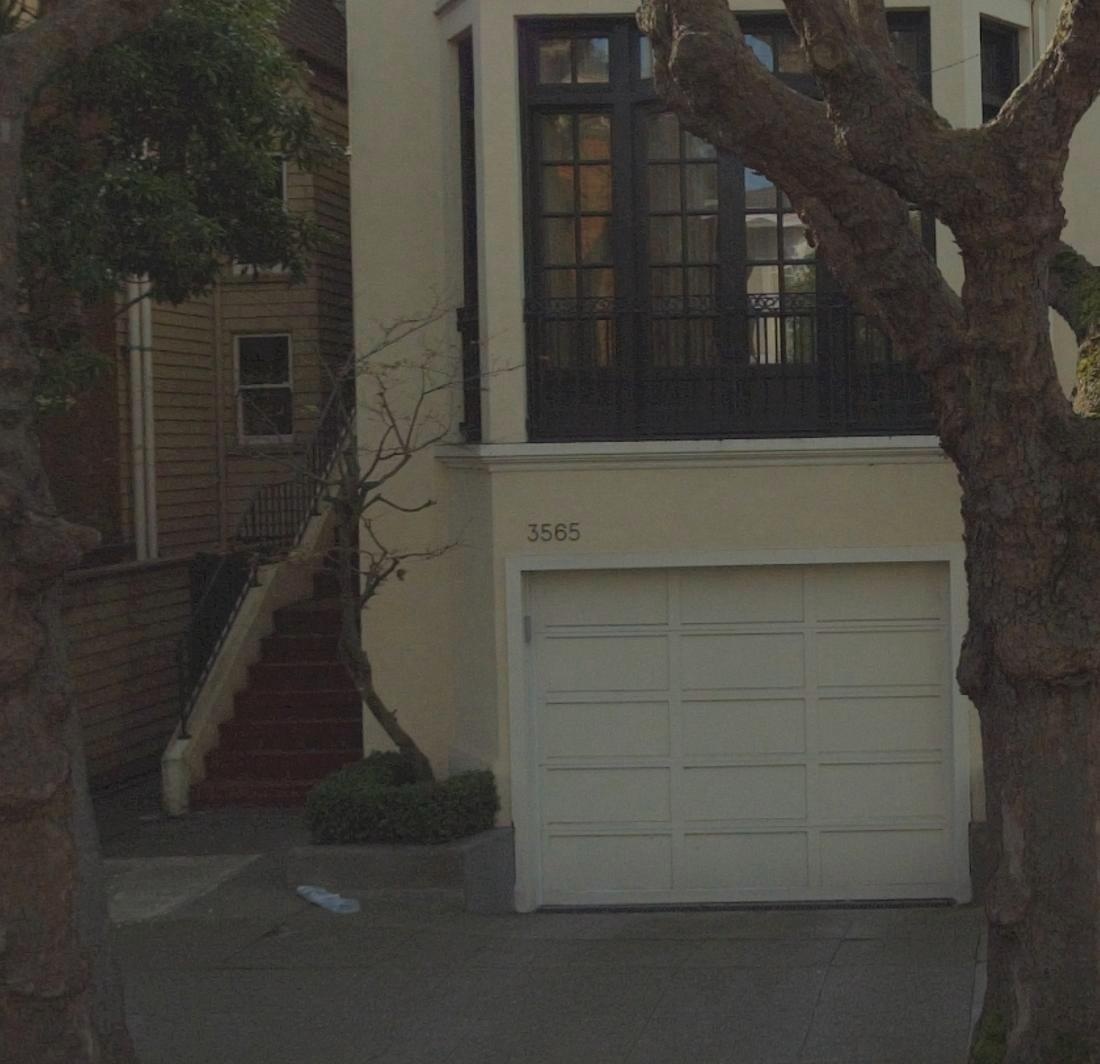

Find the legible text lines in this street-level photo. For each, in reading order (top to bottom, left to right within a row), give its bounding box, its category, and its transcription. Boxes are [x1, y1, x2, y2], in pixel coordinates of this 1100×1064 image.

[524, 520, 582, 545] StreetNumber: 3565